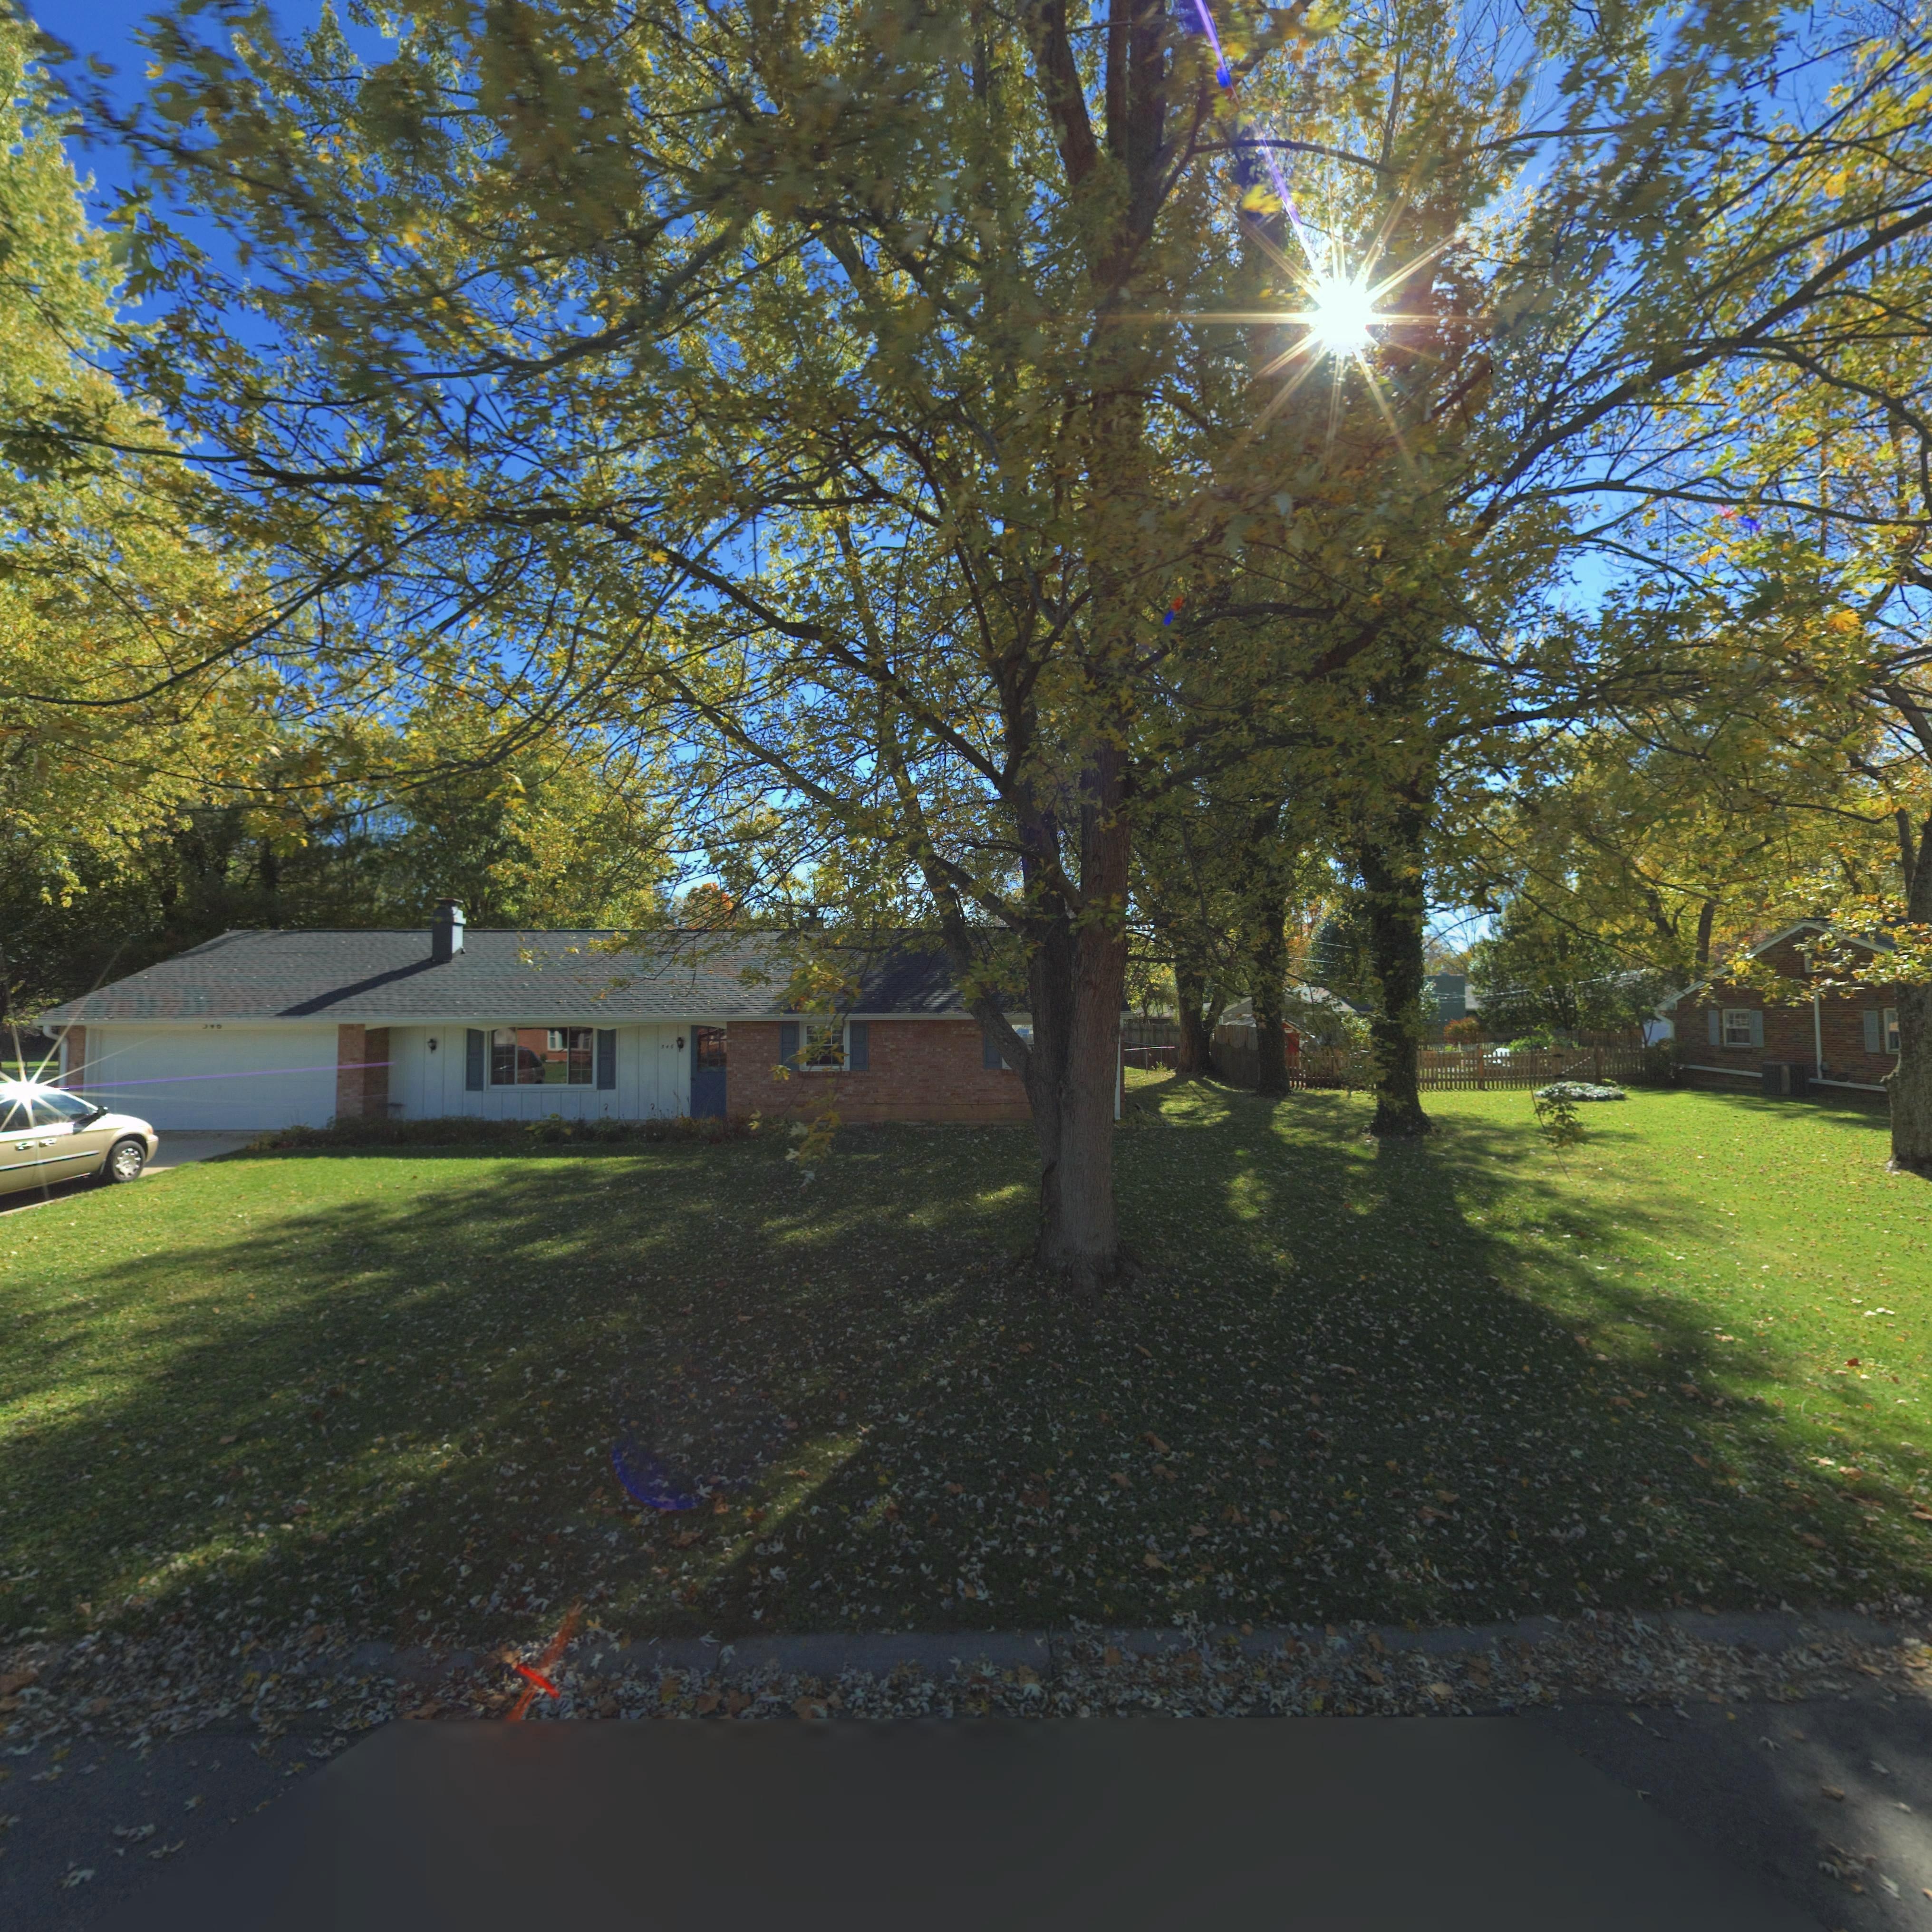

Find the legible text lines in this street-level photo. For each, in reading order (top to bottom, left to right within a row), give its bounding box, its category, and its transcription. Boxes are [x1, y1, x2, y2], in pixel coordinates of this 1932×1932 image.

[660, 1044, 674, 1049] StreetNumber: 546